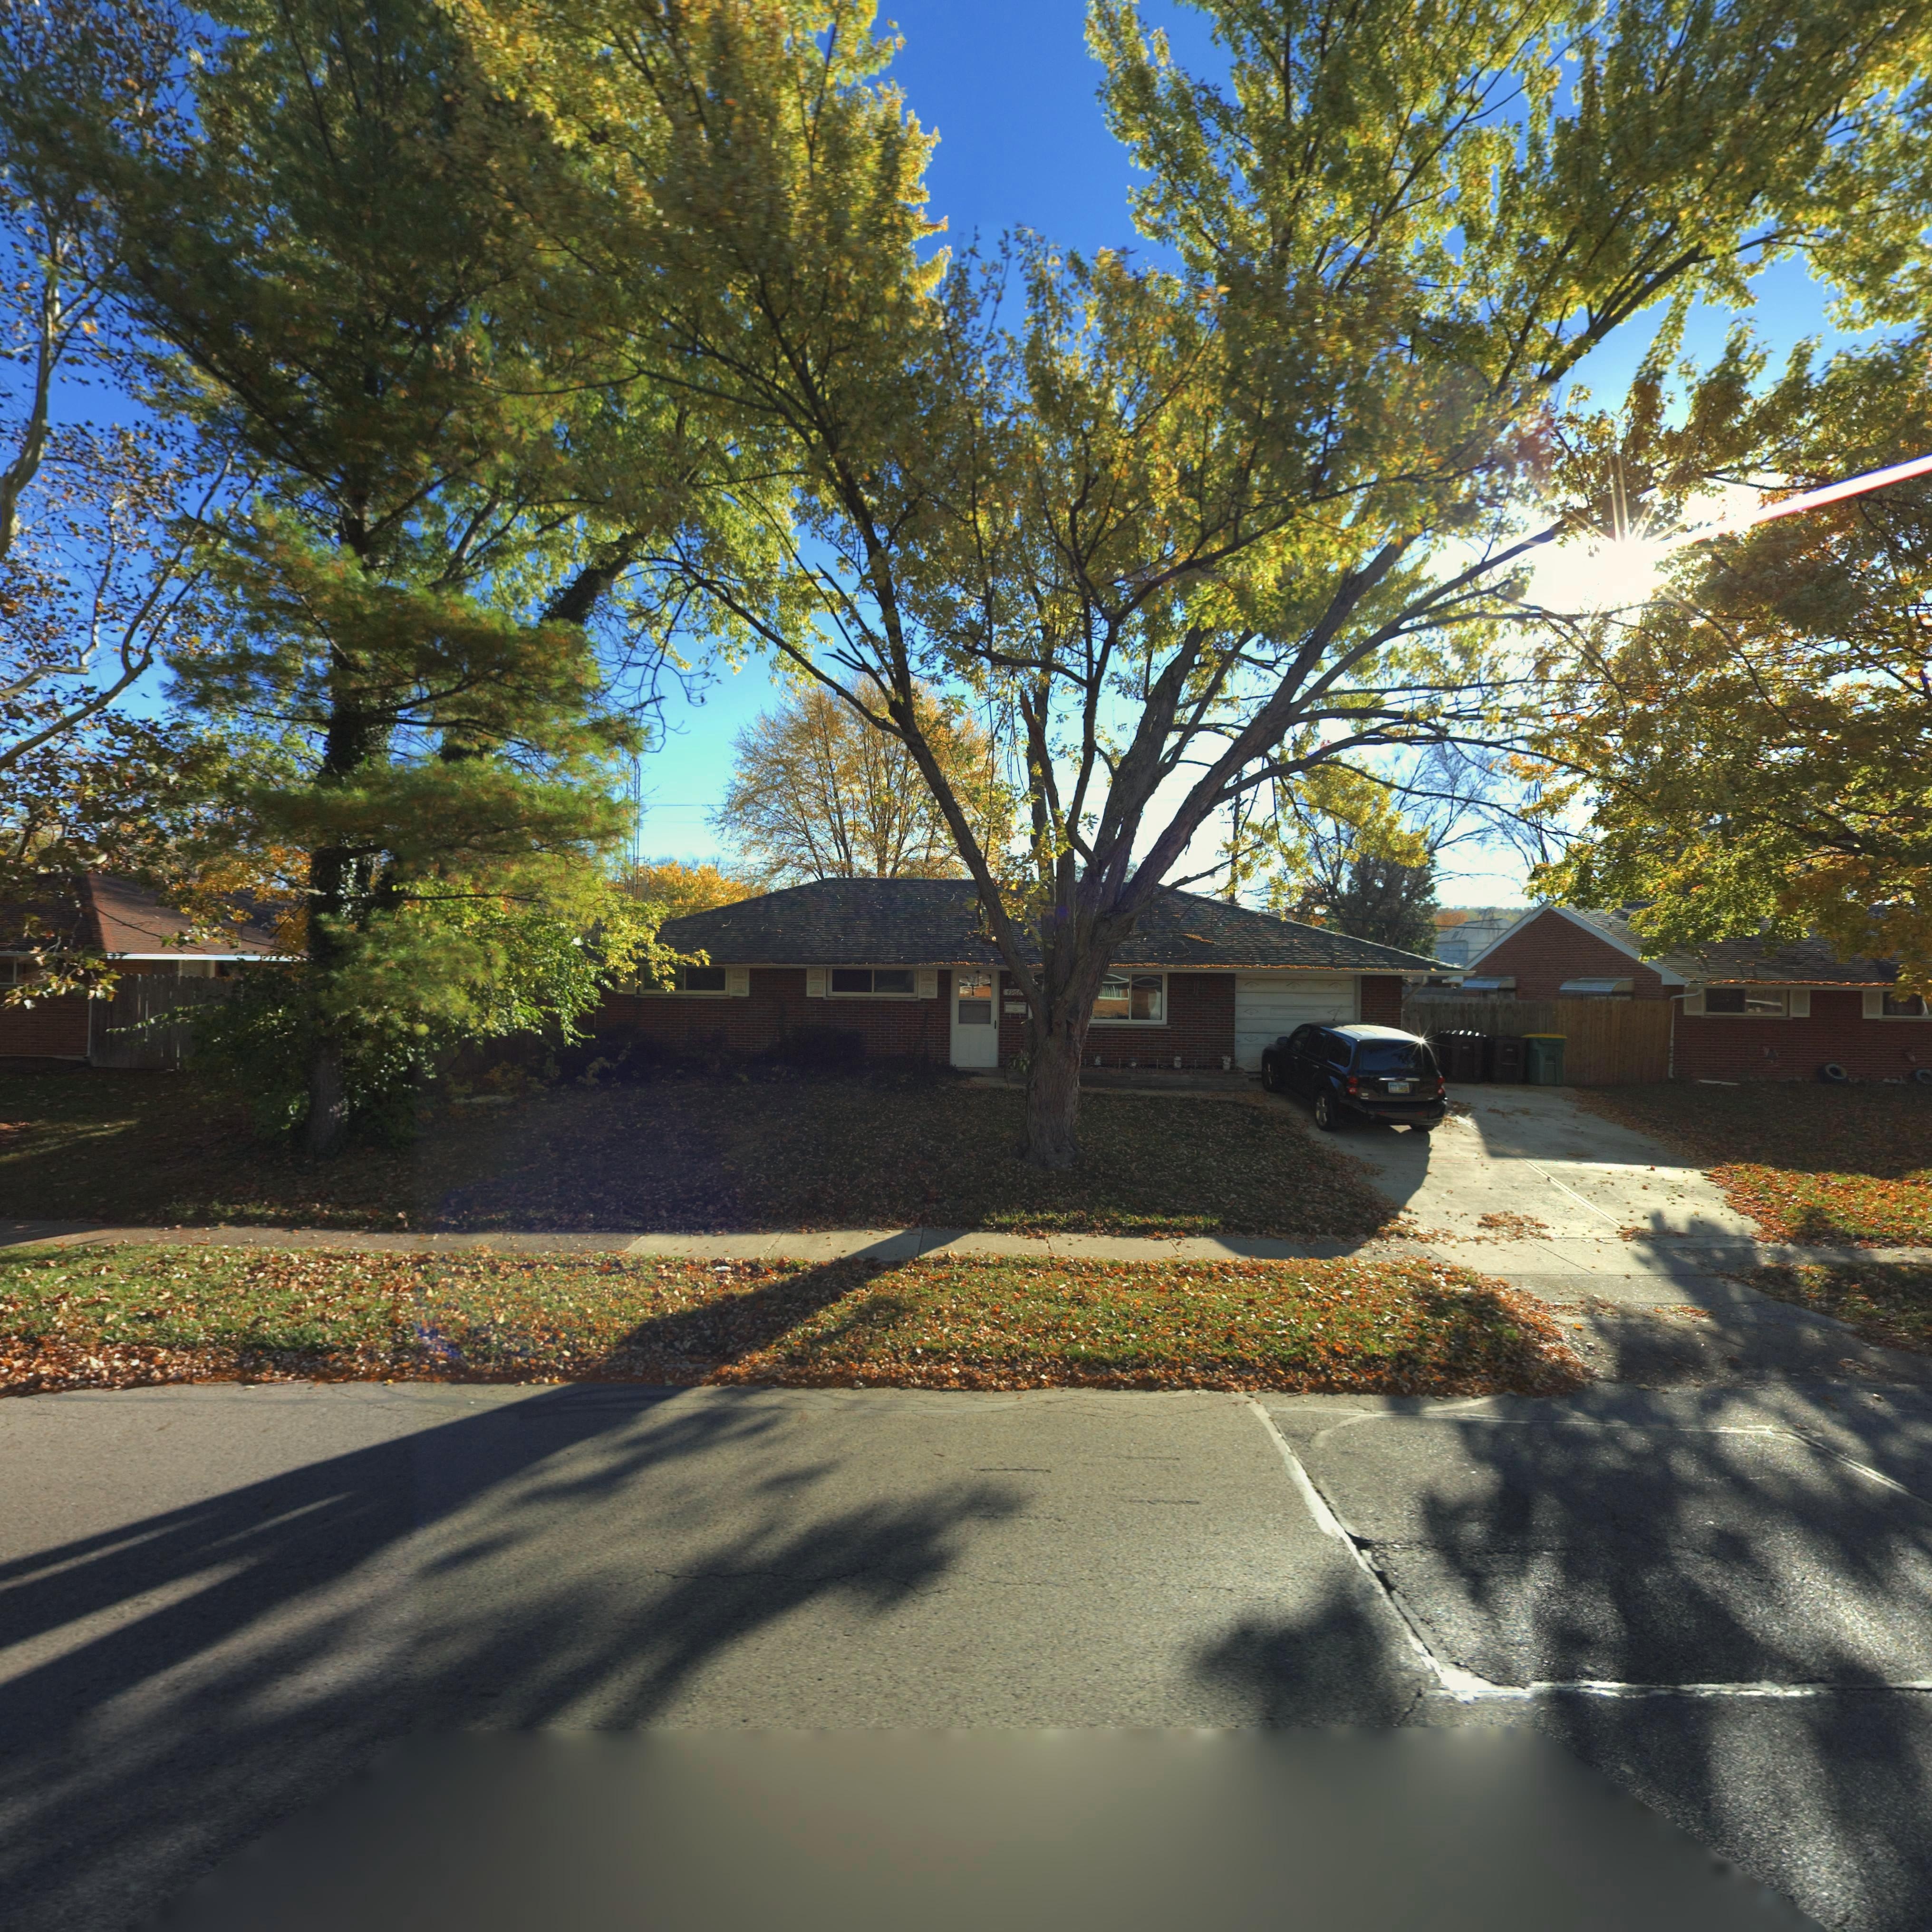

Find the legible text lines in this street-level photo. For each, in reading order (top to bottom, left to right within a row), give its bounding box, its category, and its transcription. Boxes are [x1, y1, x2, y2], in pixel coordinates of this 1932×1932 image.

[1006, 989, 1022, 995] StreetNumber: 4968